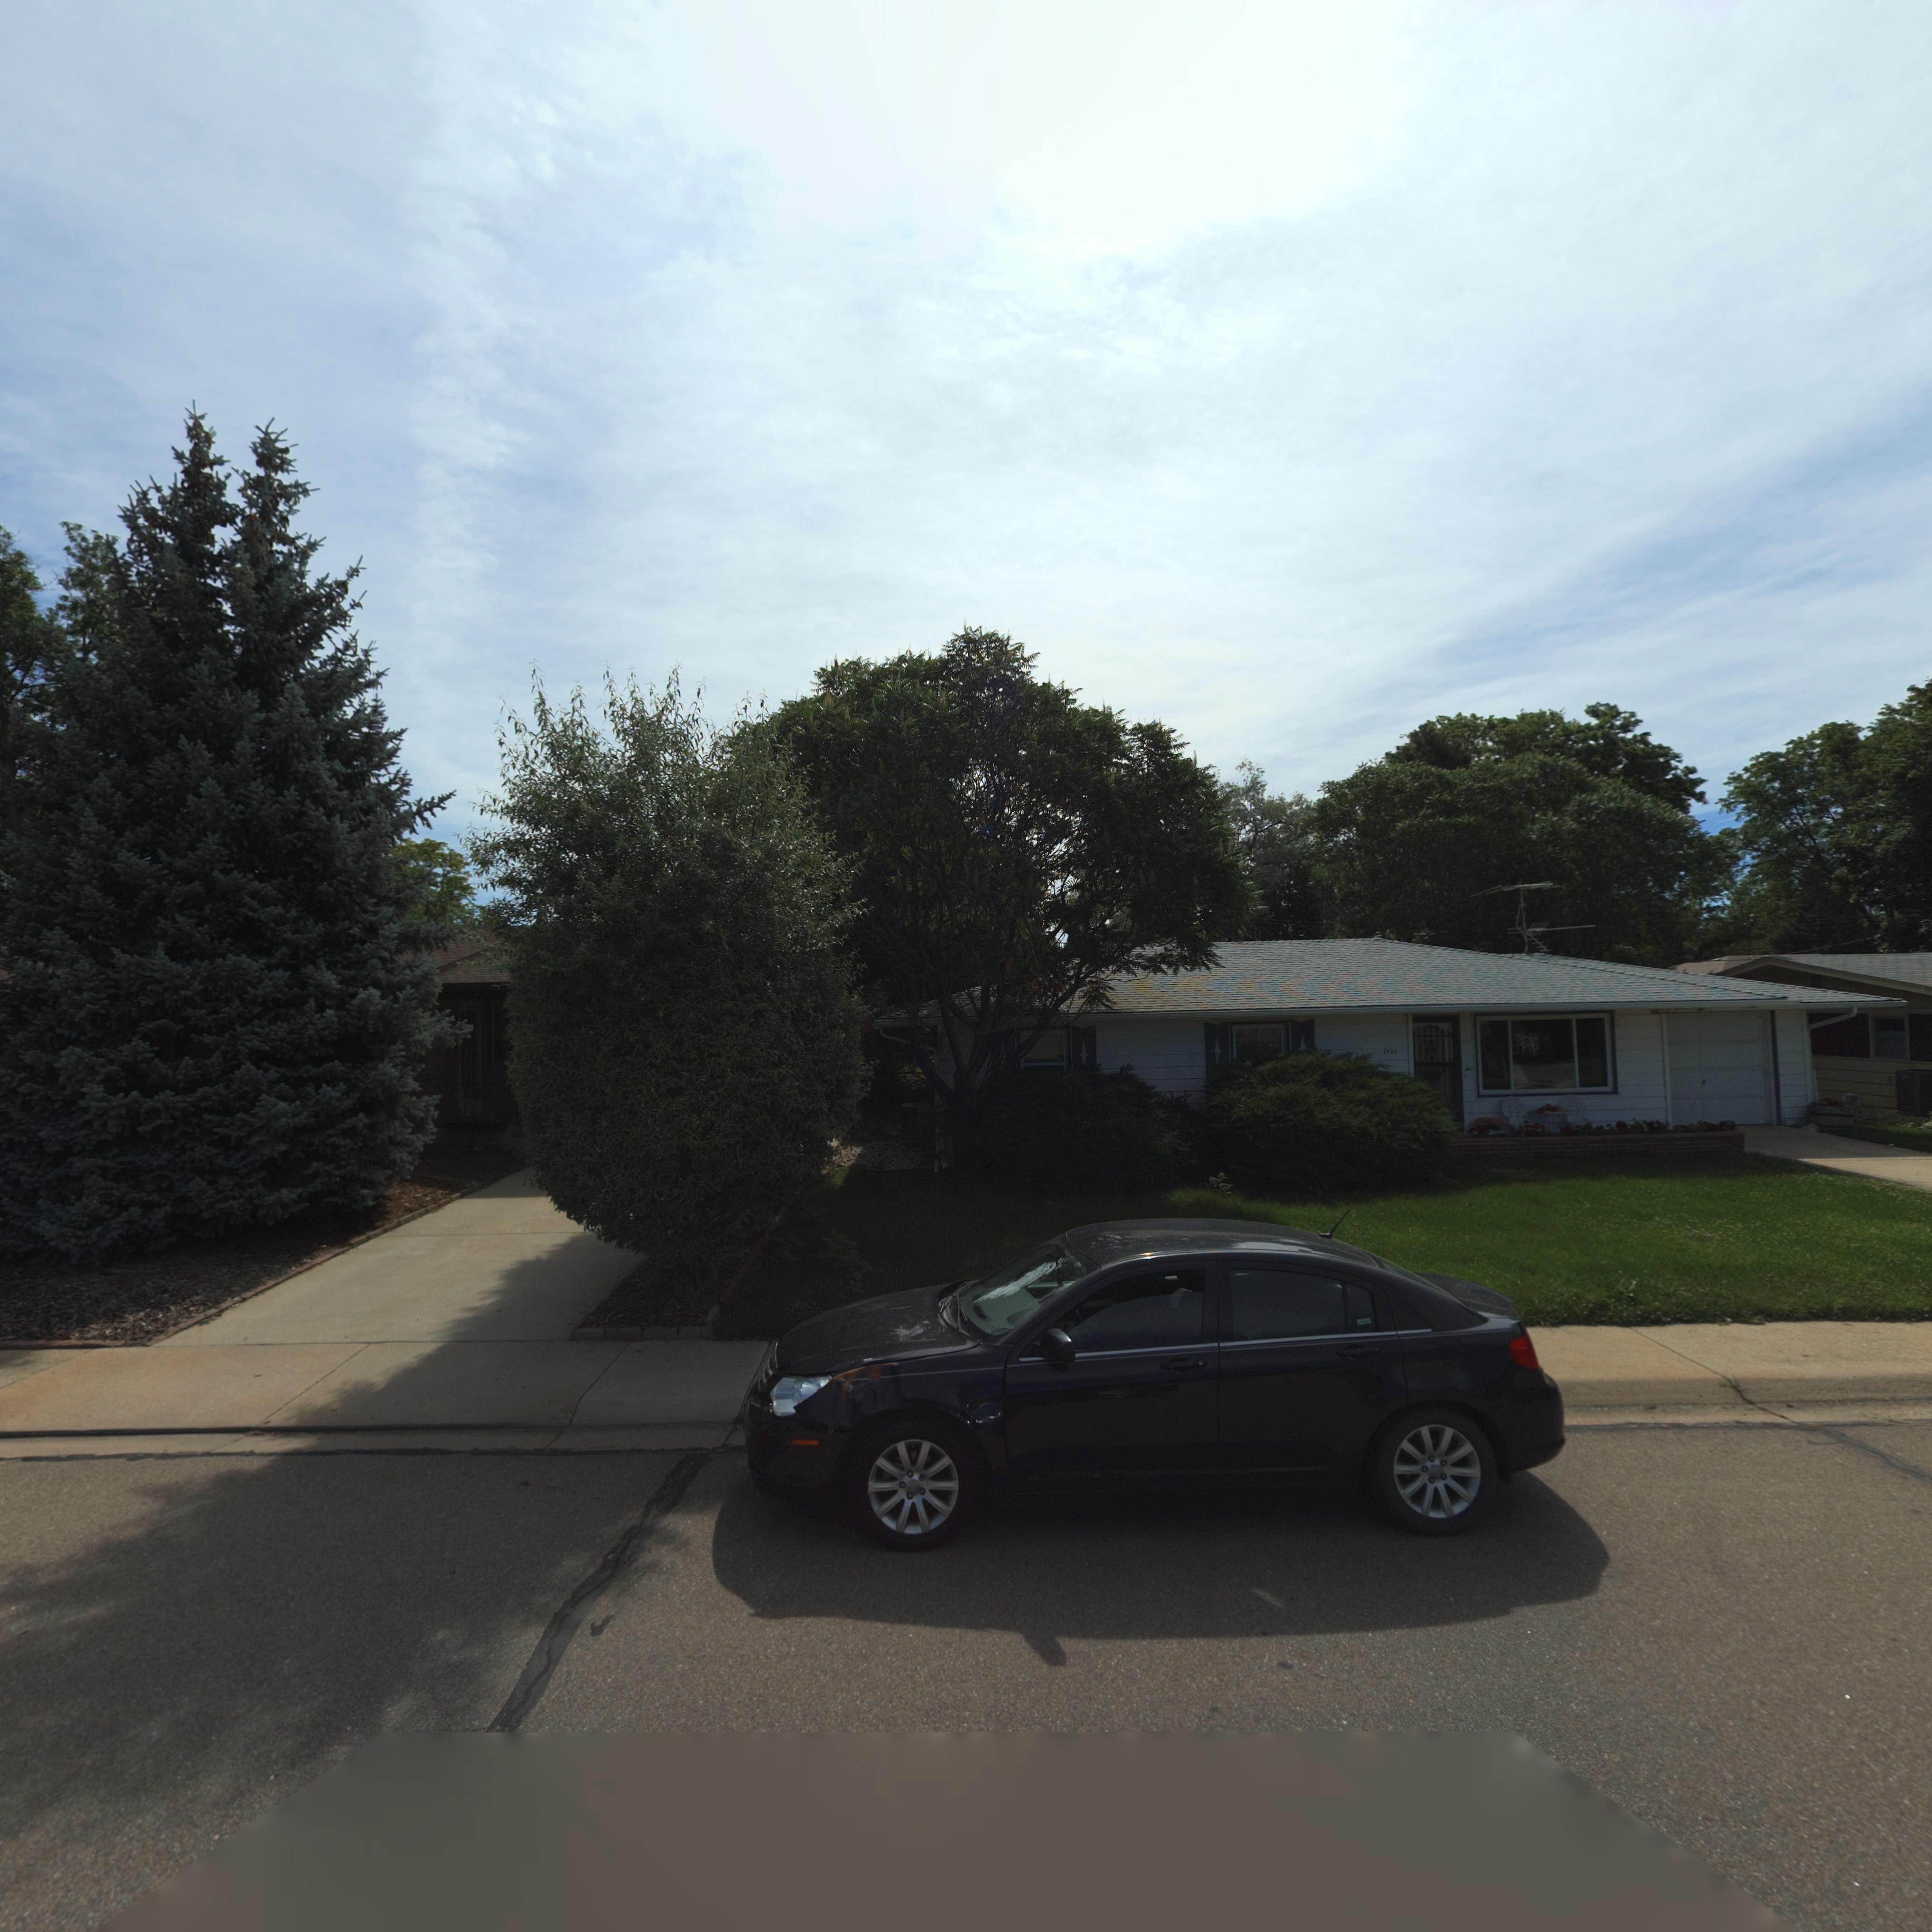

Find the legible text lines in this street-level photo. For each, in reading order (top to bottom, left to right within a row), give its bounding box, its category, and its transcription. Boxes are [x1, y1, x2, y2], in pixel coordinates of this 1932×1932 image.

[1383, 1048, 1397, 1054] StreetNumber: 1*26